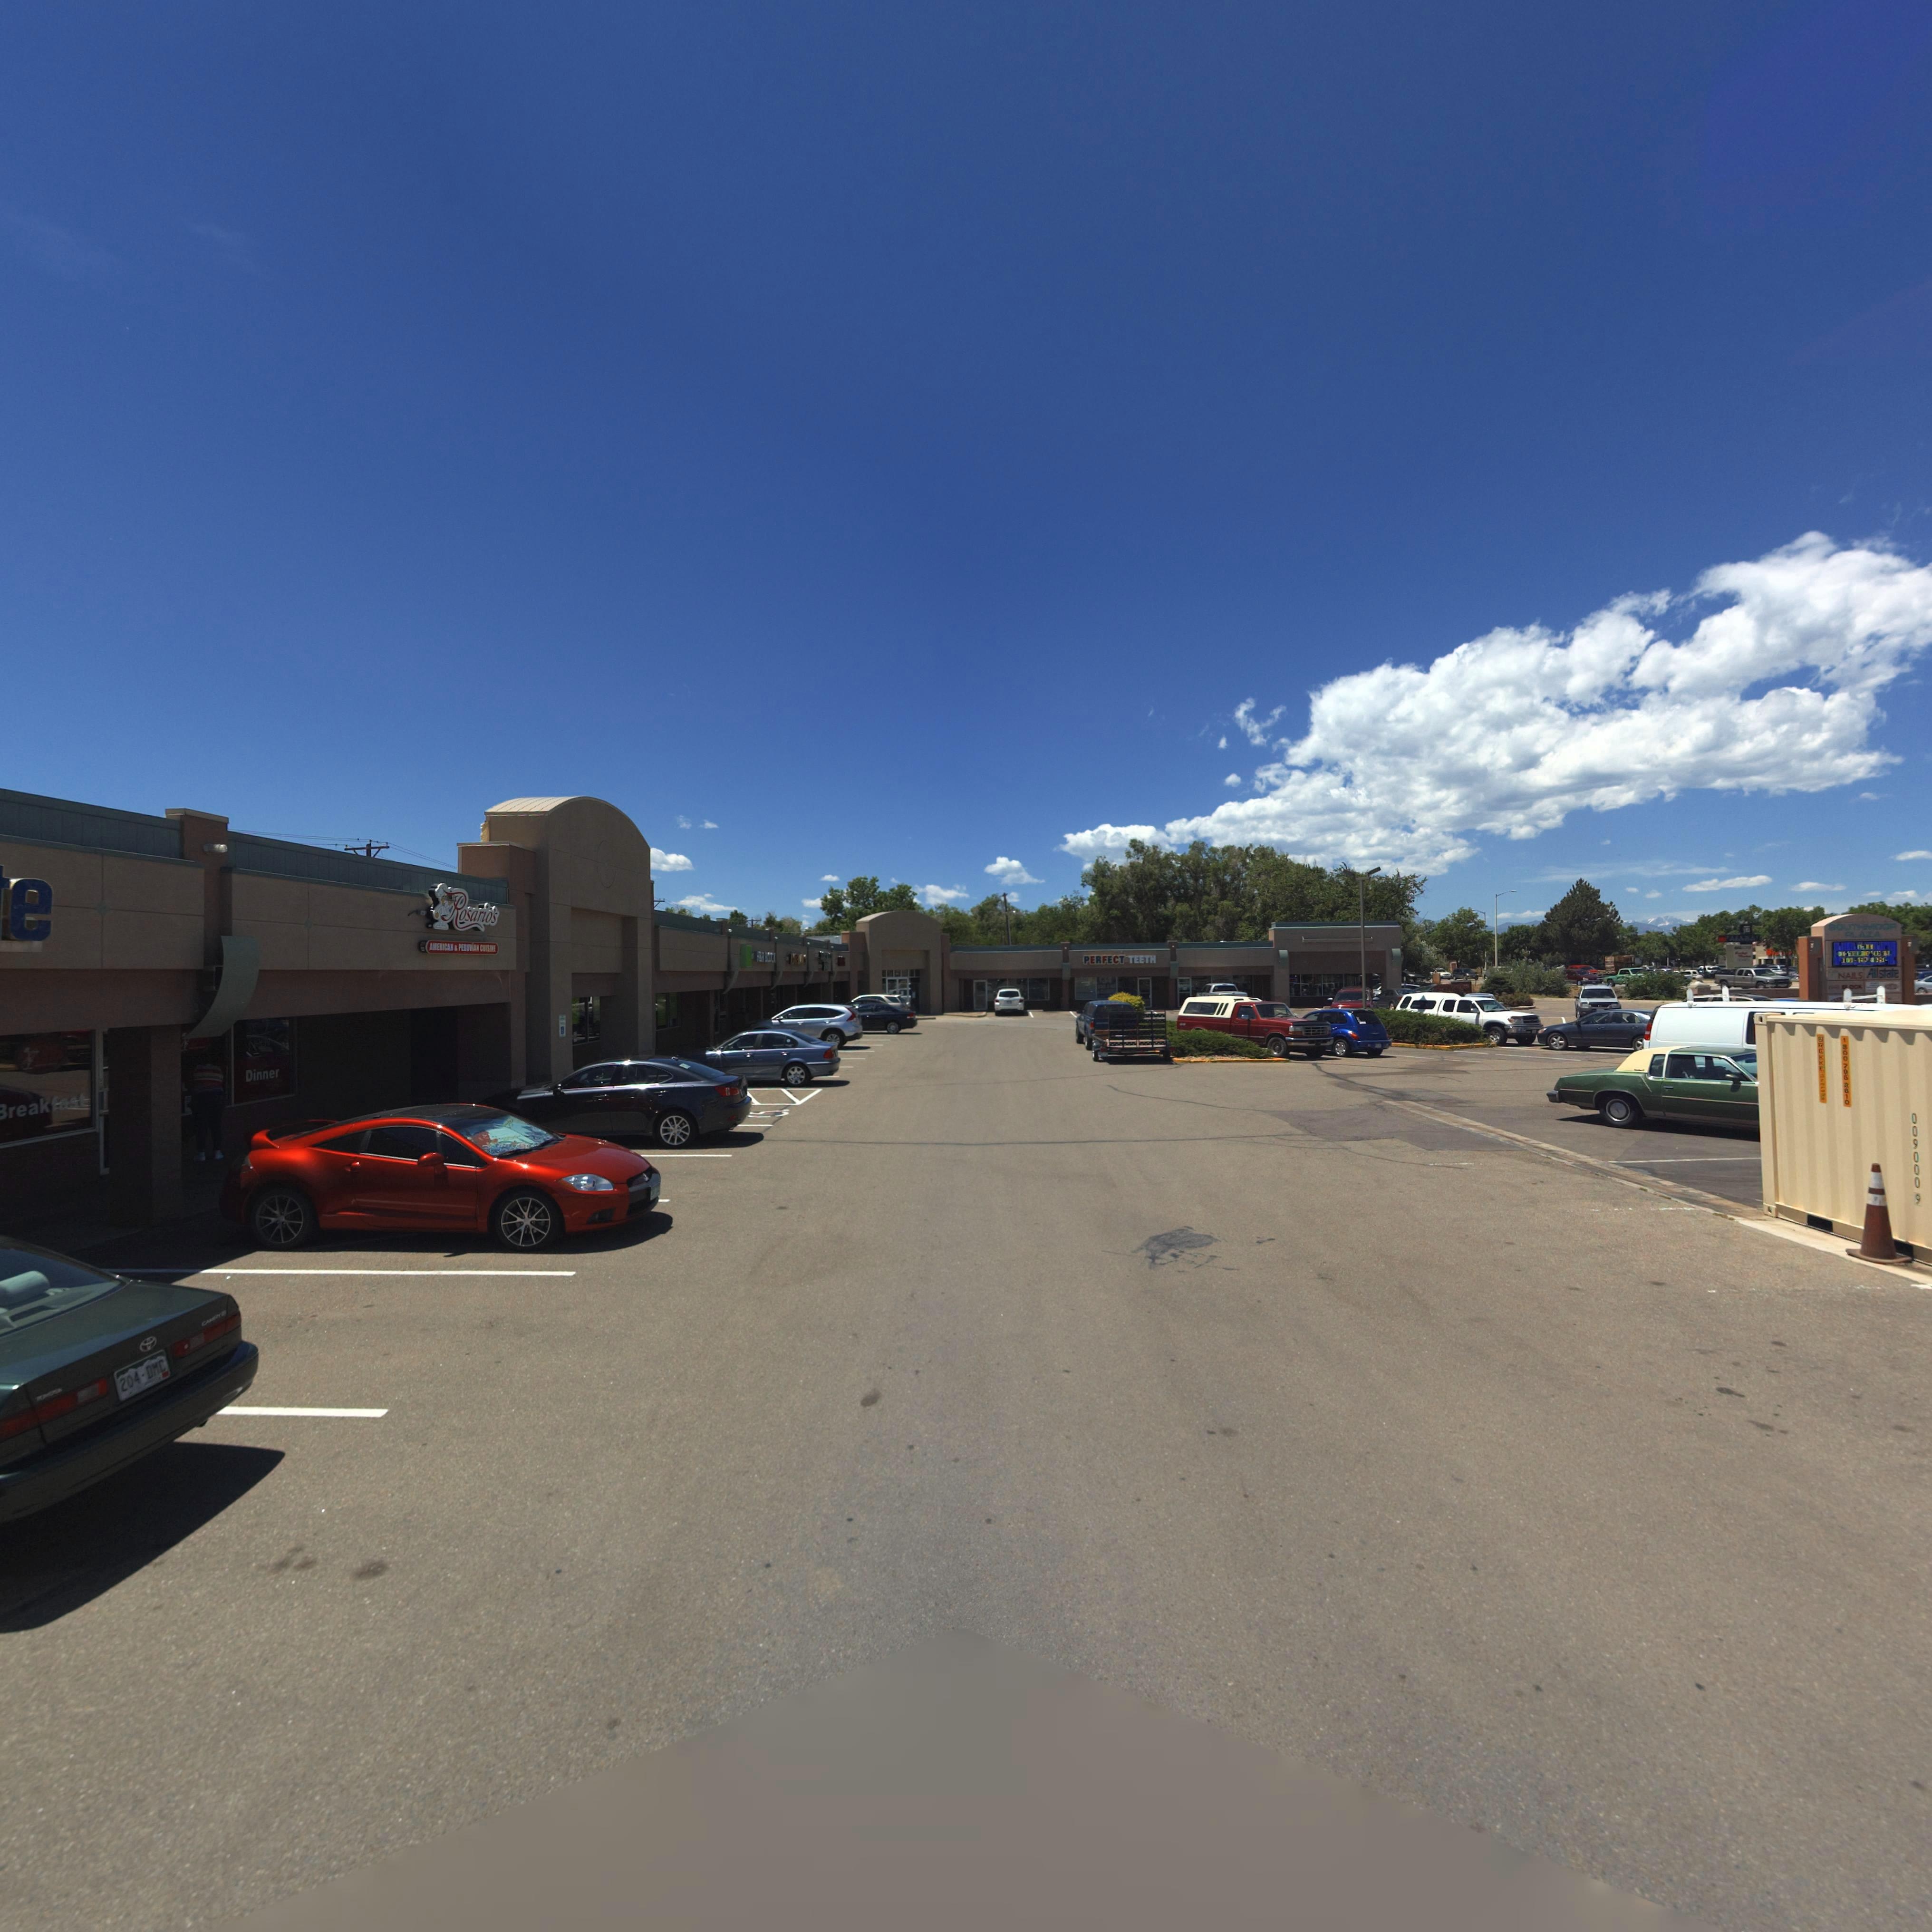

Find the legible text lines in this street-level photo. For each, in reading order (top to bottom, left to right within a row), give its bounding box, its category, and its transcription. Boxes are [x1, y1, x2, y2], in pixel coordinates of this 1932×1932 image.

[8, 877, 53, 942] BusinessName: e
[440, 887, 499, 924] BusinessName: Rosario*s
[428, 942, 496, 952] BusinessName: AMERICAN * PERUVIAN CUISINE
[756, 950, 776, 963] BusinessName: H*R B*OCK
[1083, 955, 1156, 964] BusinessName: PERFECT TEETH
[1837, 971, 1863, 979] BusinessName: NAILS
[1865, 967, 1899, 979] BusinessName: Allstate
[1841, 984, 1863, 989] BusinessName: B*OCK